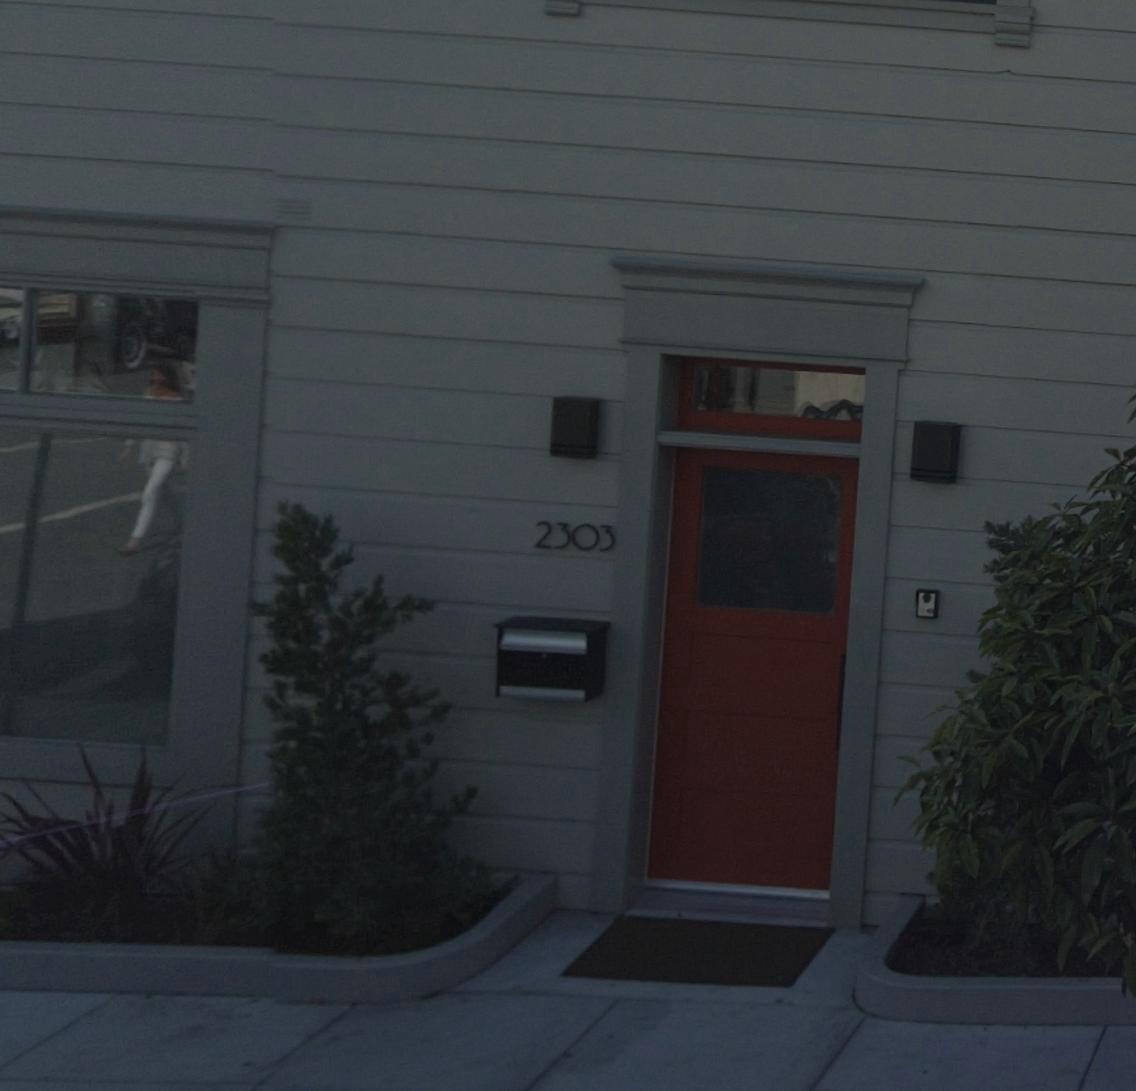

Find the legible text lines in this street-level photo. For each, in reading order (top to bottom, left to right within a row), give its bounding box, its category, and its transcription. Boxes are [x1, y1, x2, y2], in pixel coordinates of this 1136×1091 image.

[530, 517, 618, 556] StreetNumber: 2303